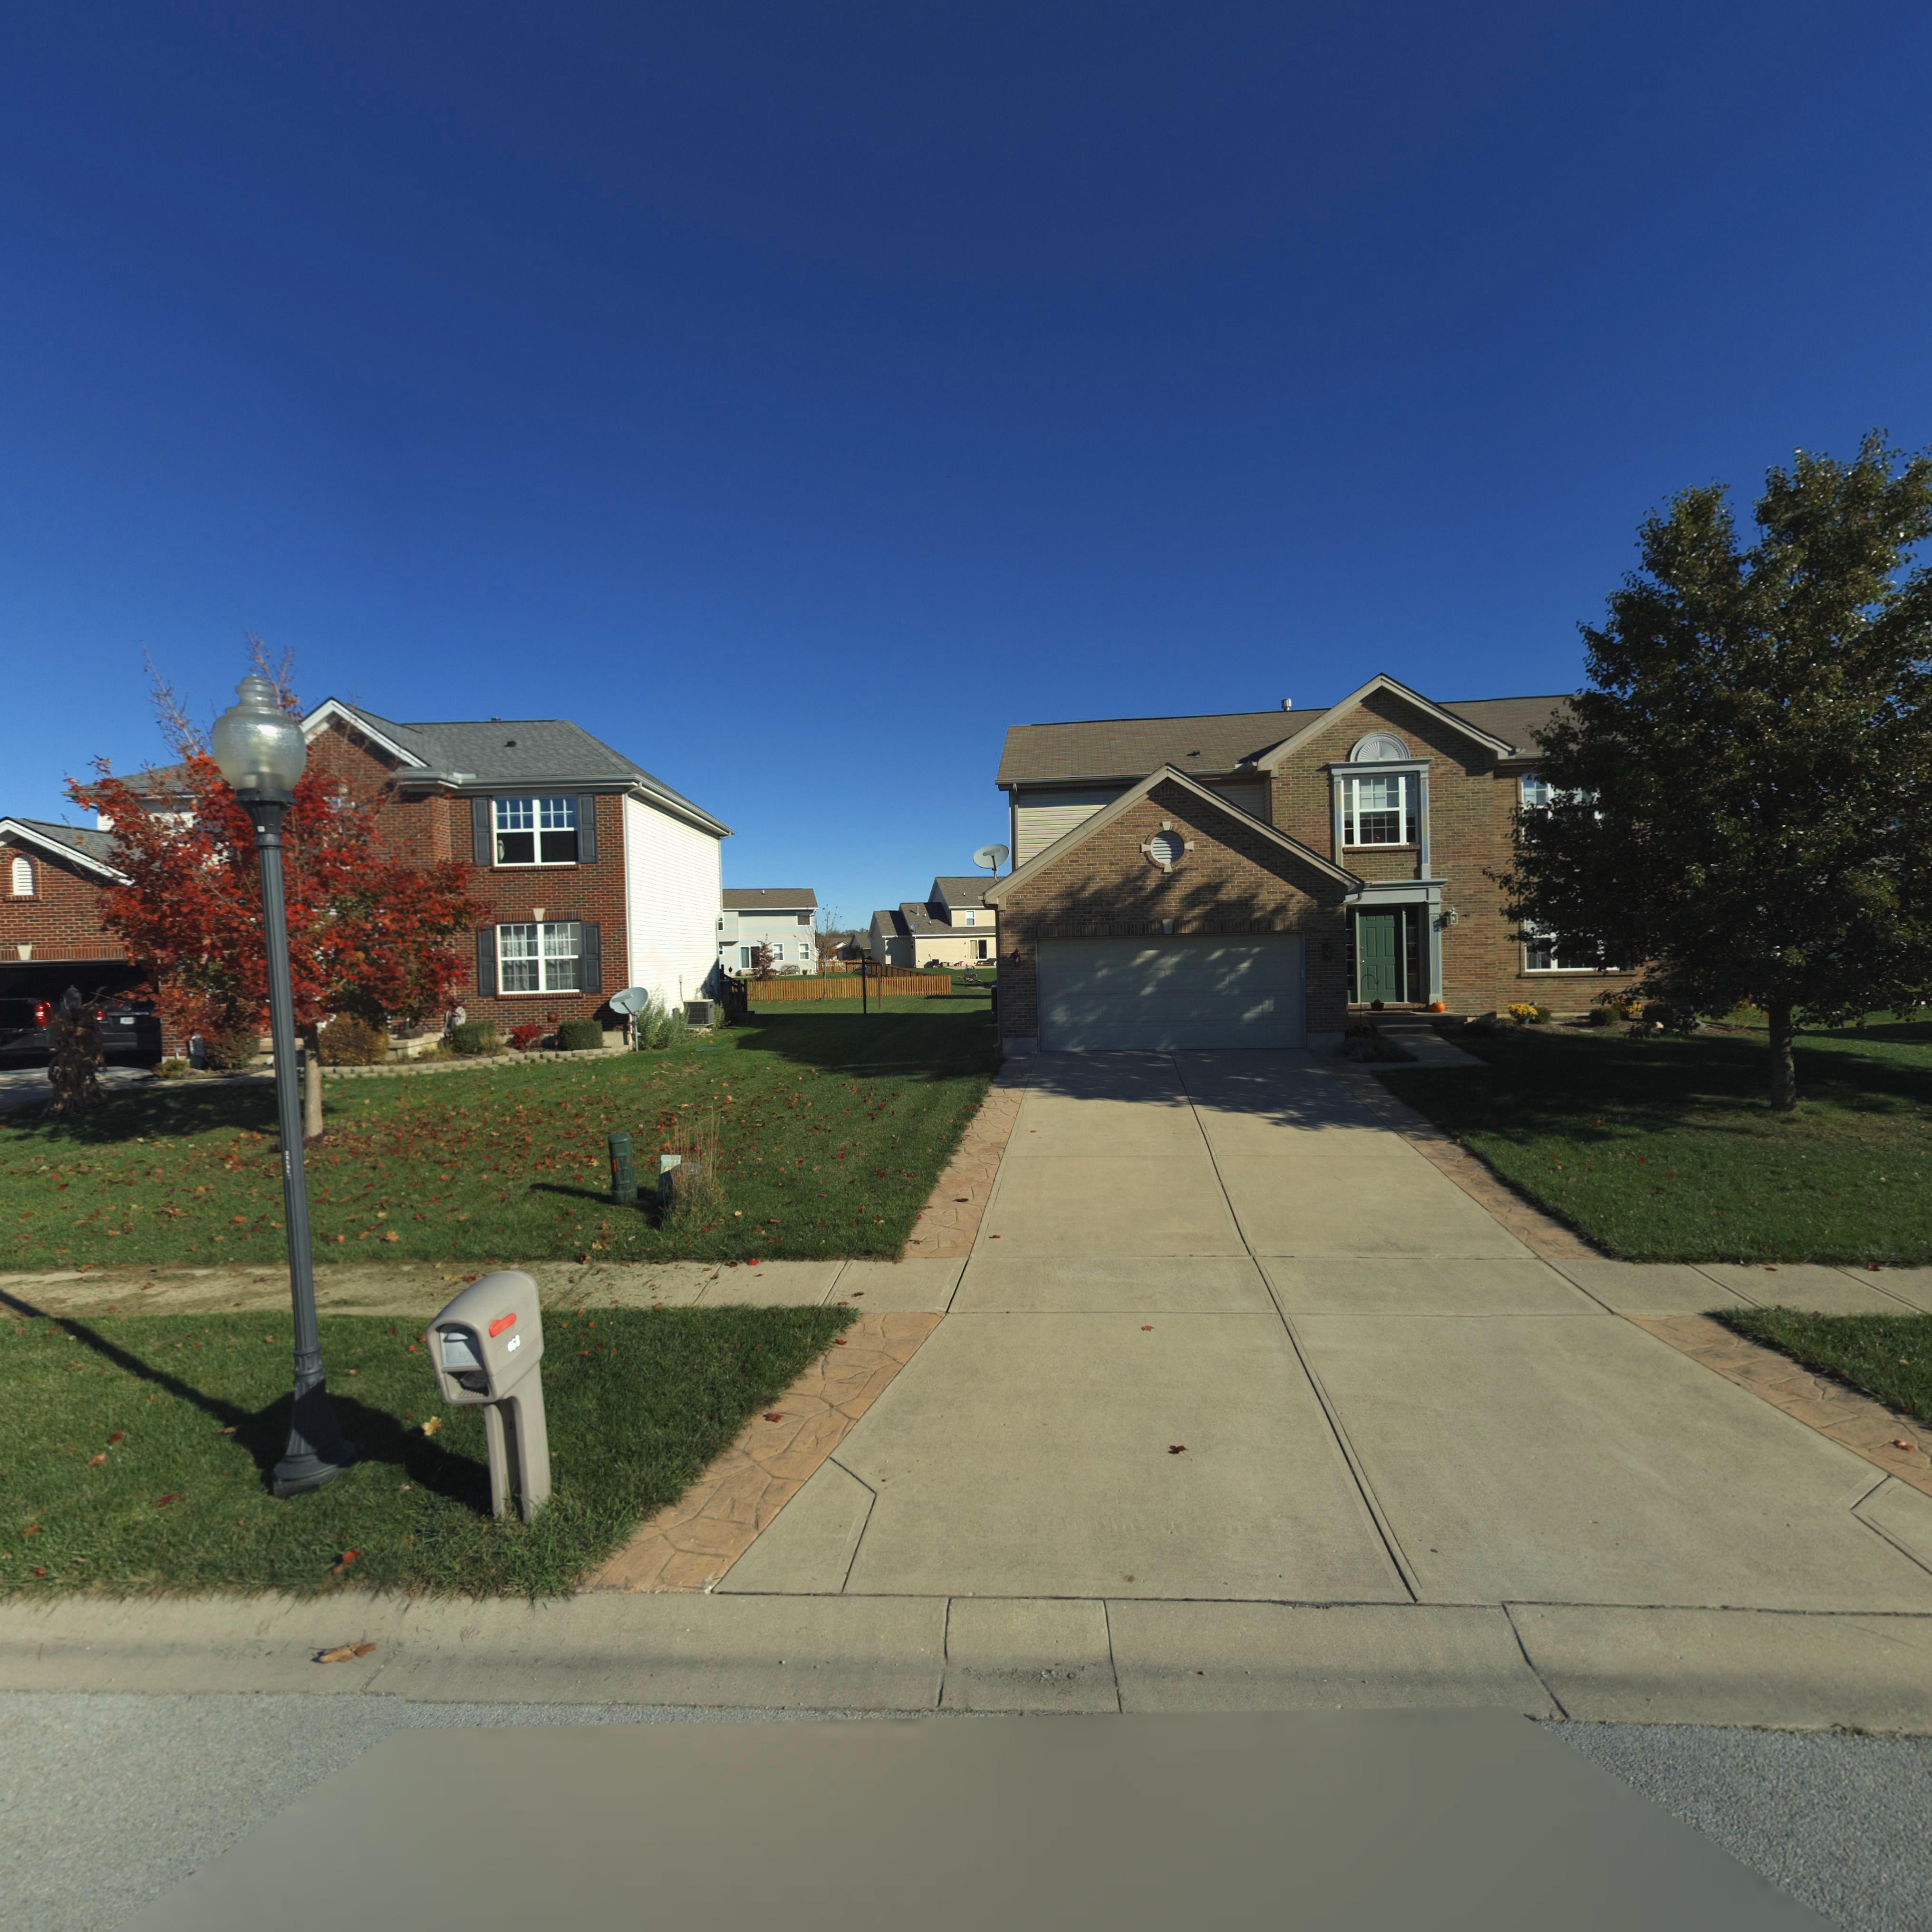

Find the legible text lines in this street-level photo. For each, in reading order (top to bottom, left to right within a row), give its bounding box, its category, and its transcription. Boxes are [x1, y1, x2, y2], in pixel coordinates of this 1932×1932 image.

[505, 1333, 522, 1354] StreetNumber: *68